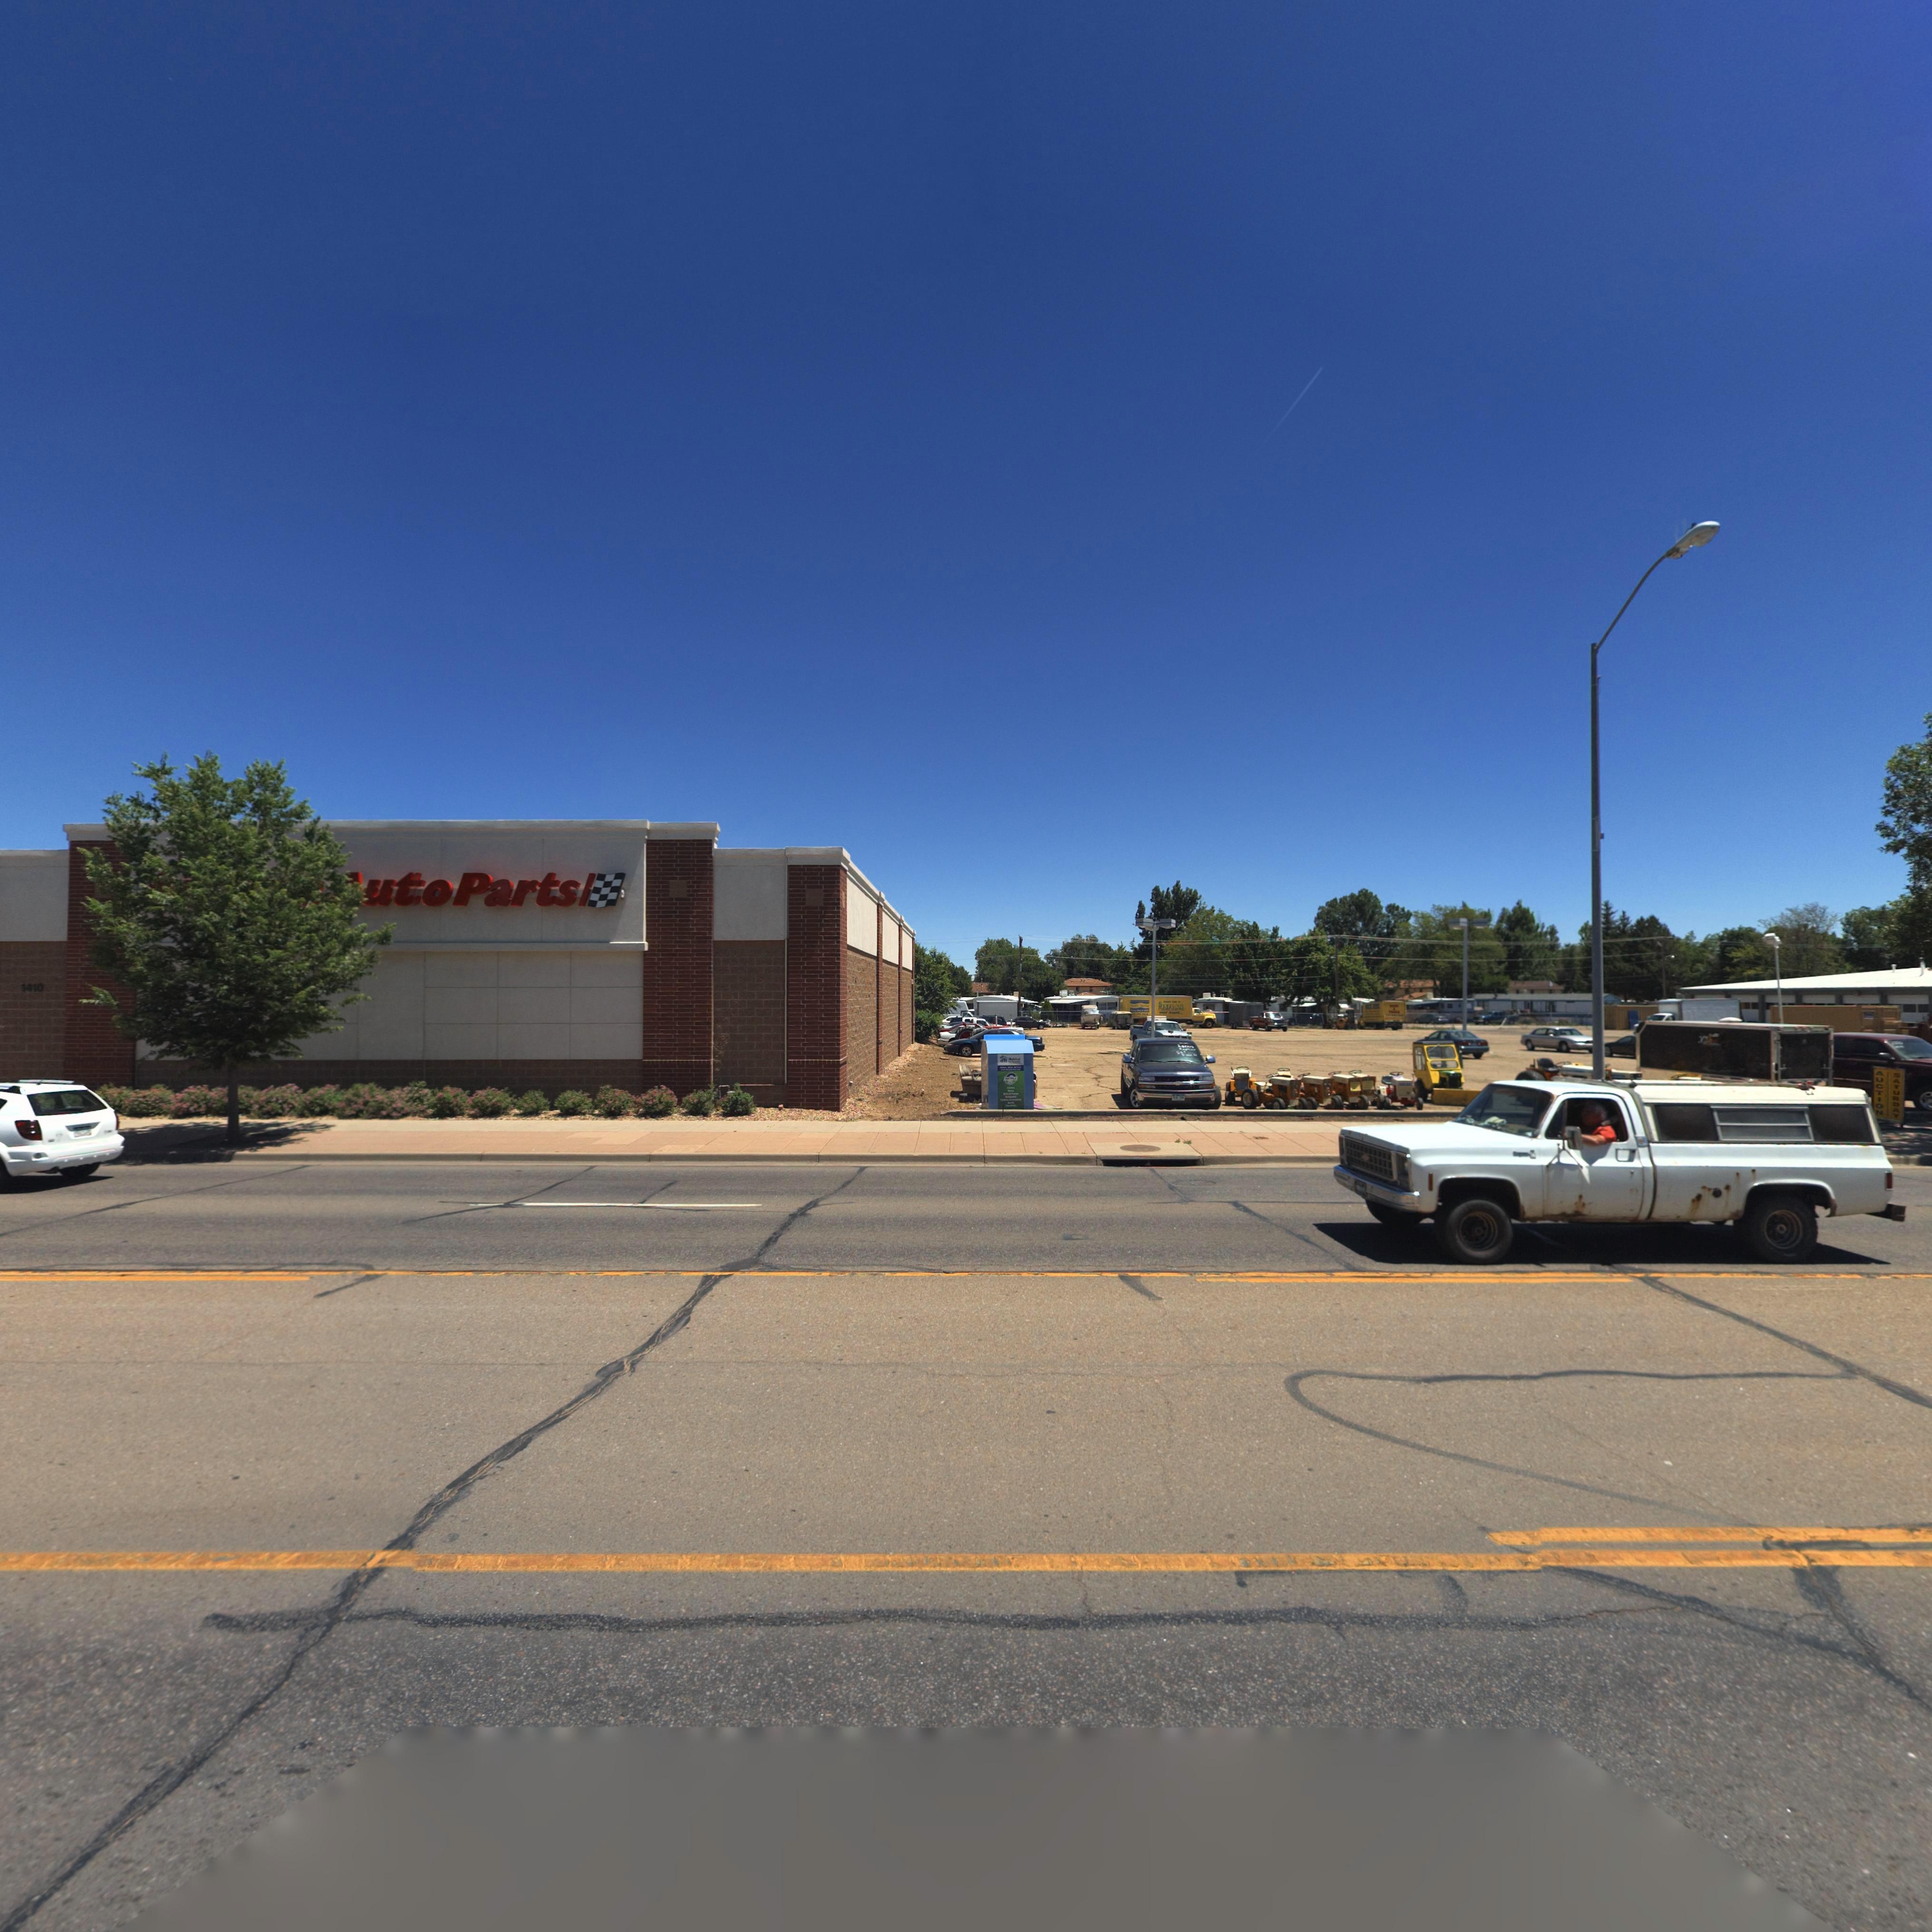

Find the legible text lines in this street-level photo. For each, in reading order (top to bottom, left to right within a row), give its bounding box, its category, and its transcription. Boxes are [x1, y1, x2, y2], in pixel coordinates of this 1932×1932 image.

[342, 869, 581, 908] BusinessName: *ut*o Parts